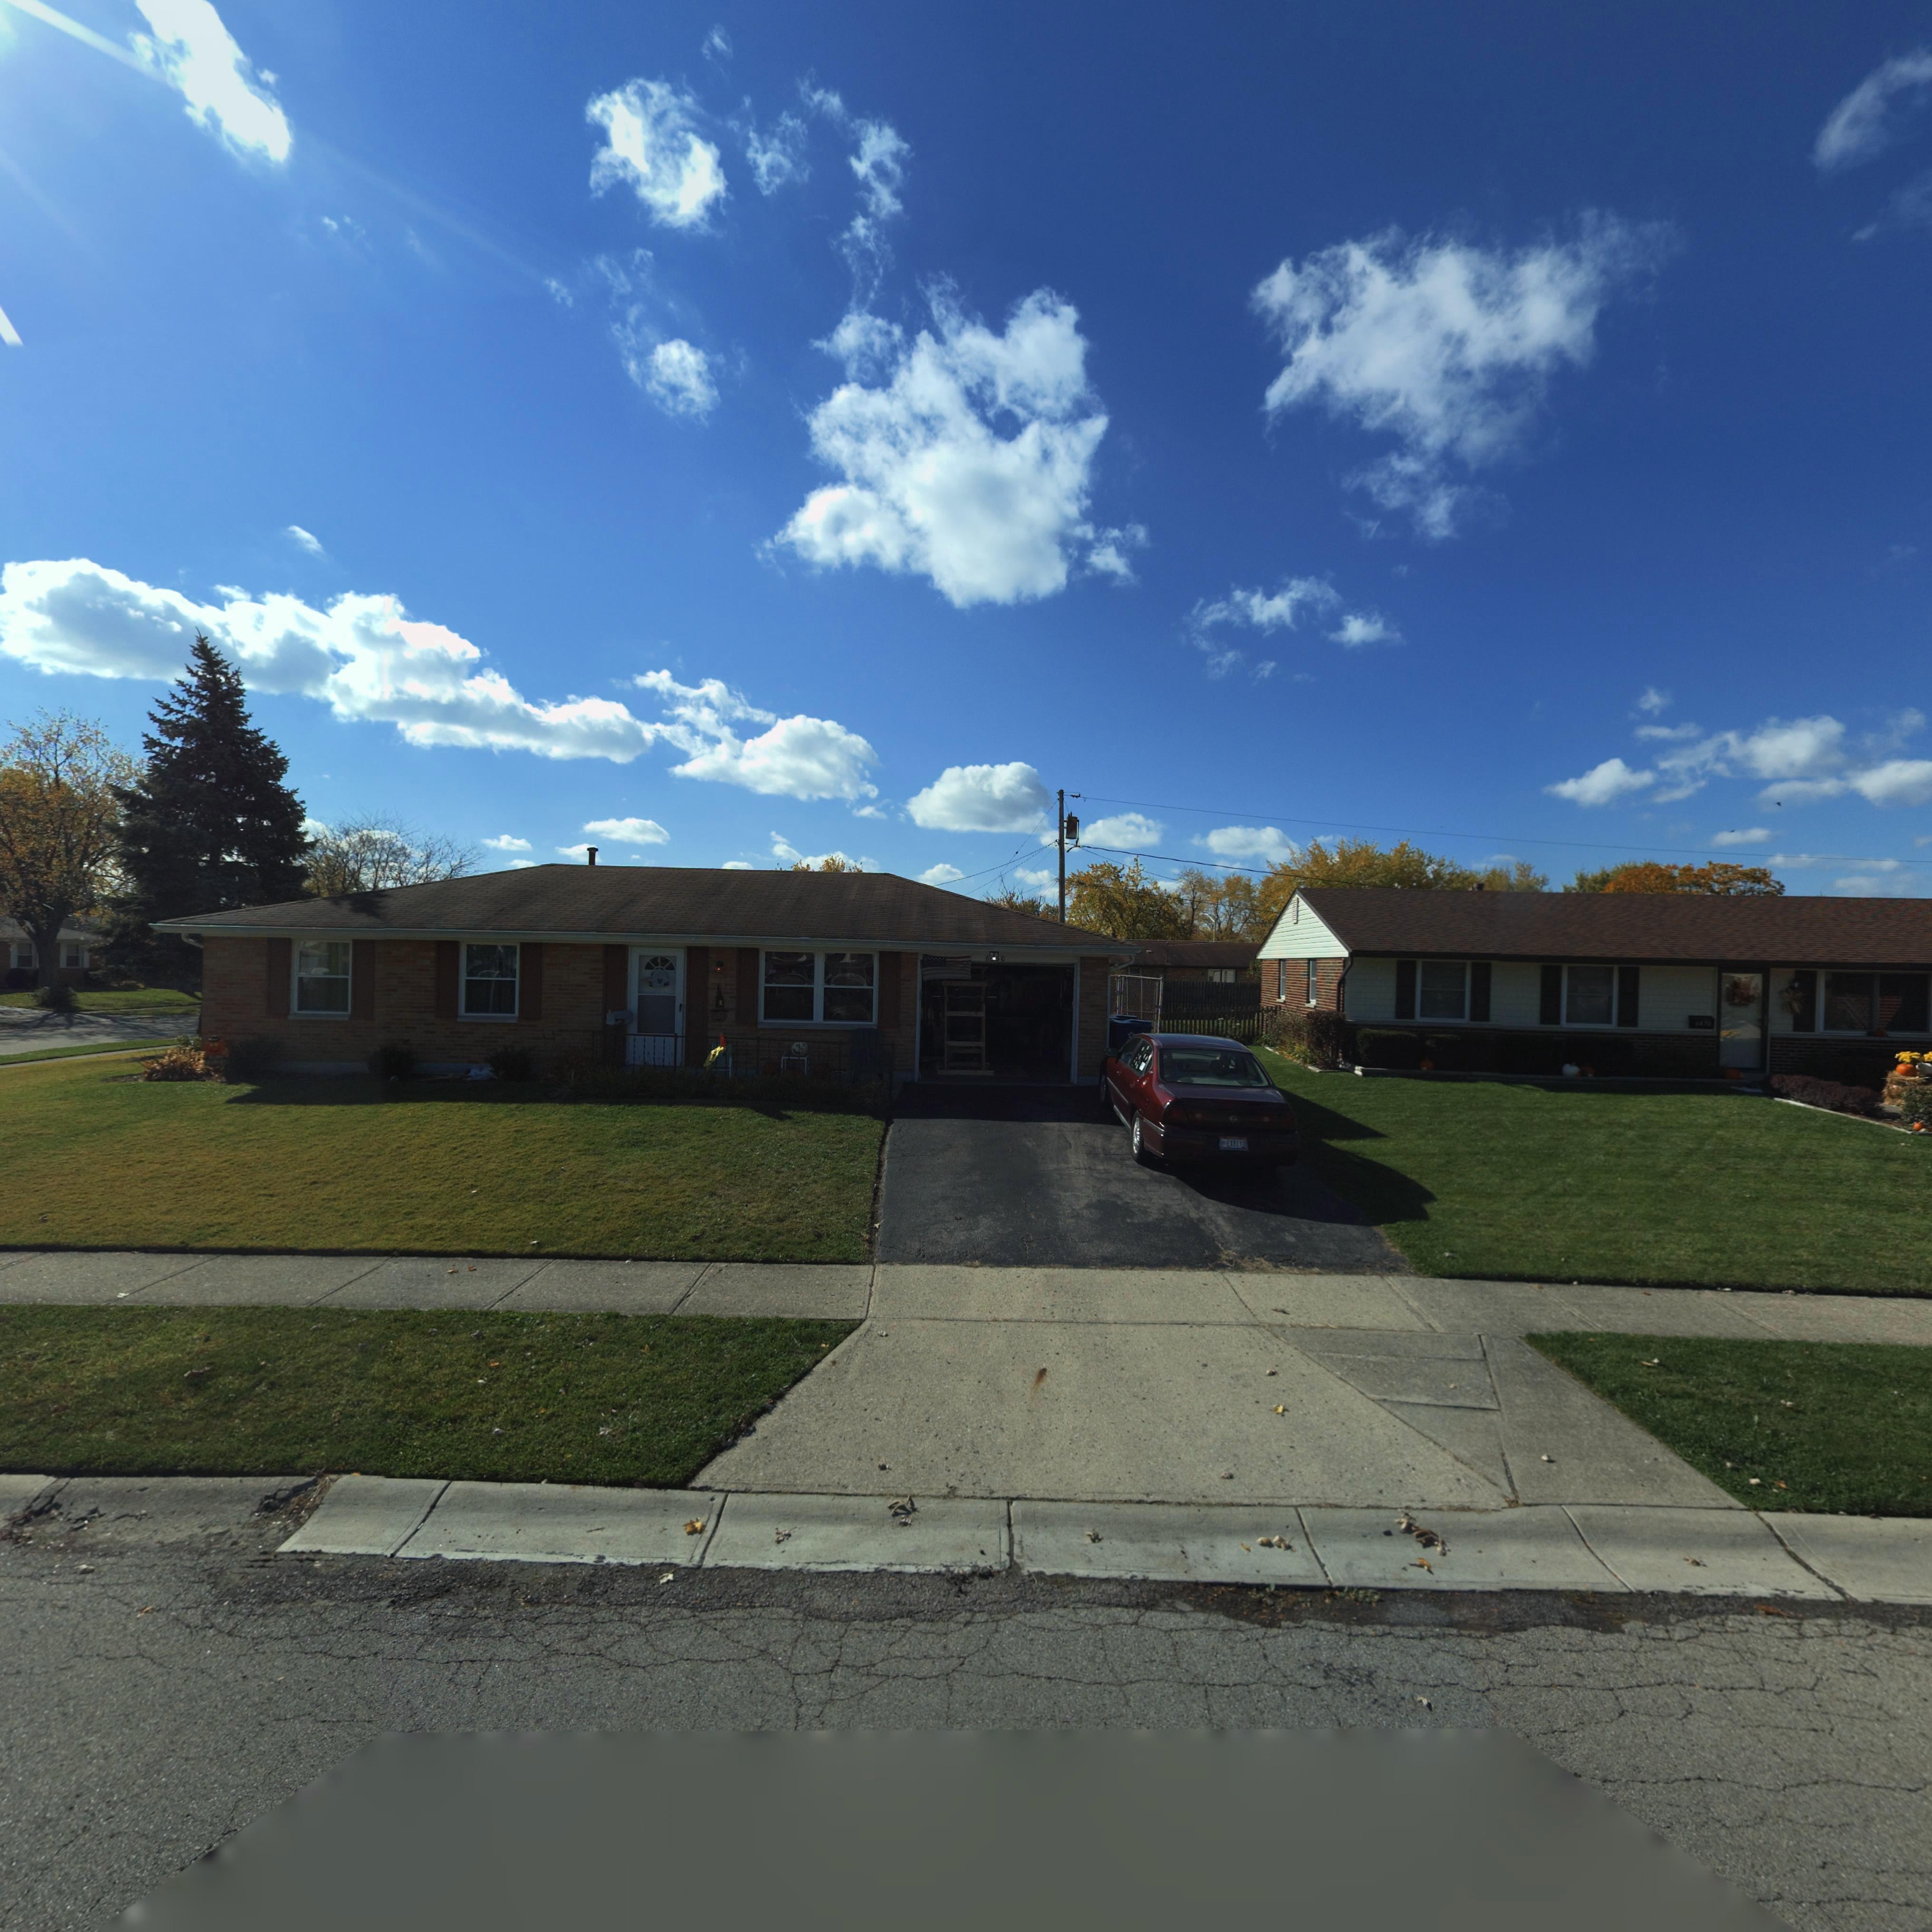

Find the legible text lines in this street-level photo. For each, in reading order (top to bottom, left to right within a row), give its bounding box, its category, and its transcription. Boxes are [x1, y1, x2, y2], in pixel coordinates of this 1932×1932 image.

[985, 954, 1005, 962] StreetNumber: 6**0
[1694, 1019, 1712, 1027] StreetNumber: 6450